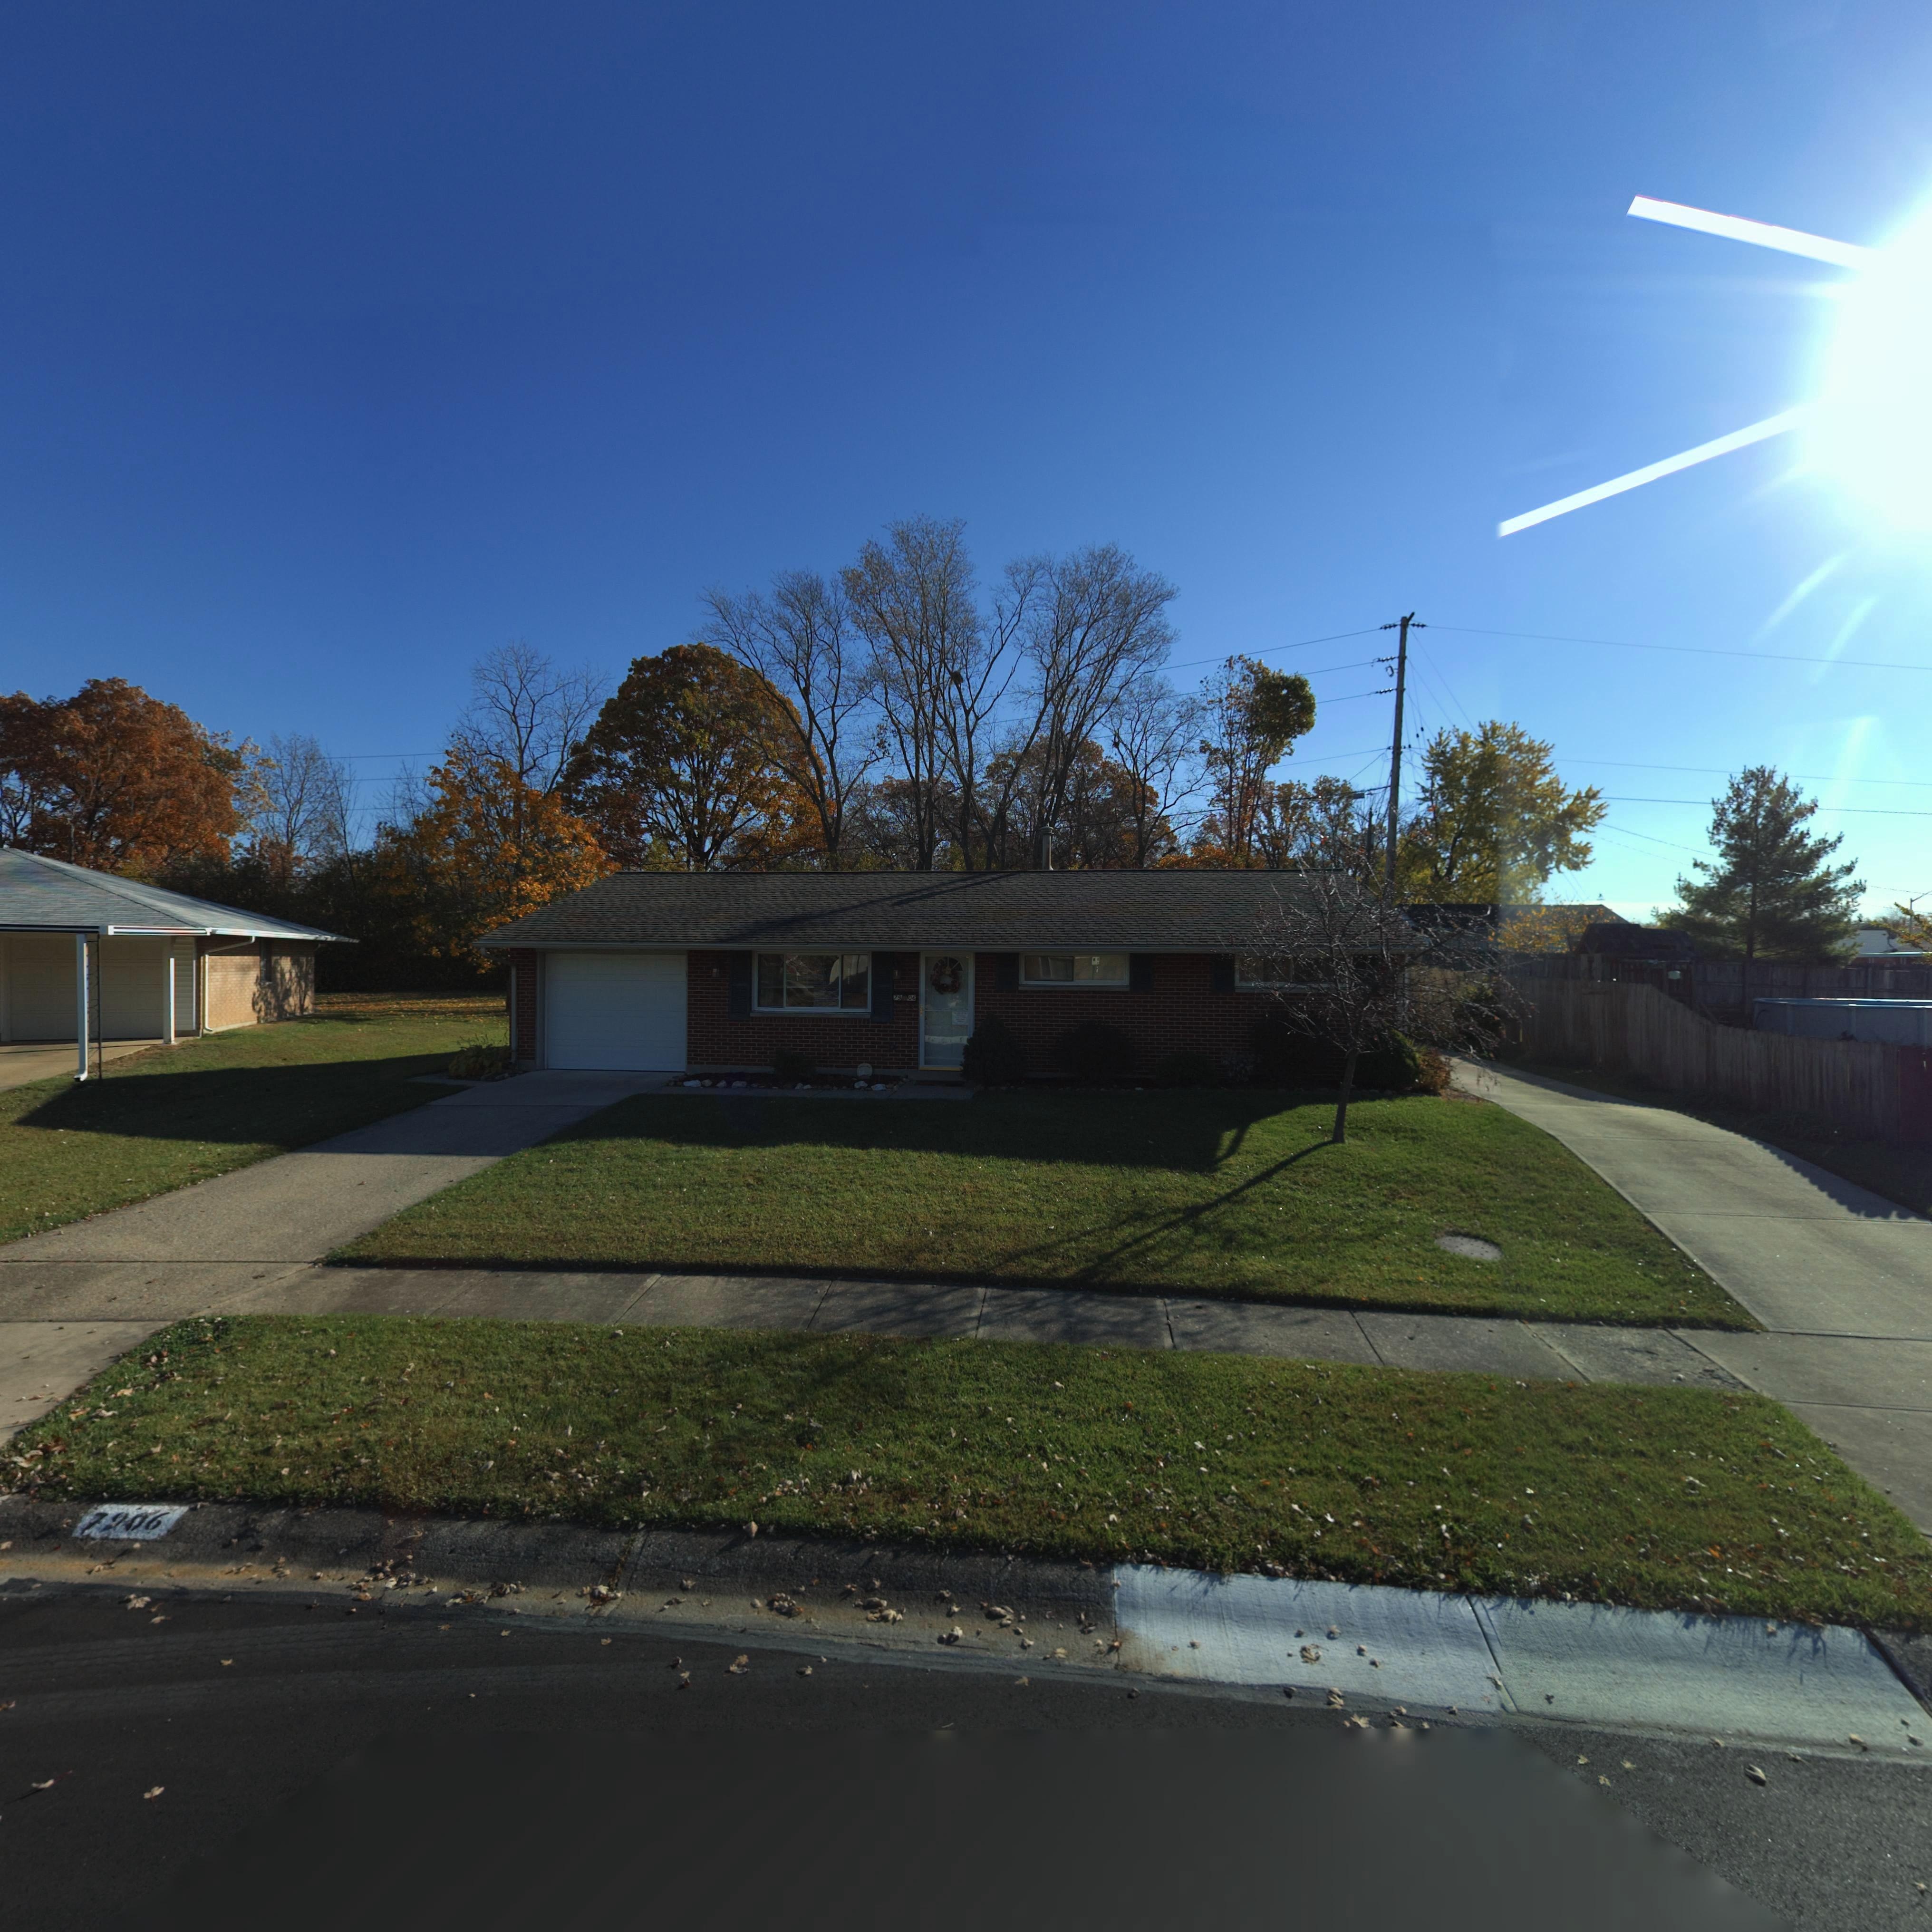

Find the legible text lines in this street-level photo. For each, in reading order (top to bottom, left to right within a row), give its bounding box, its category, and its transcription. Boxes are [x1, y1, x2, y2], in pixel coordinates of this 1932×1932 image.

[893, 994, 917, 1001] StreetNumber: 79*06
[78, 1509, 174, 1536] StreetNumber: 7906